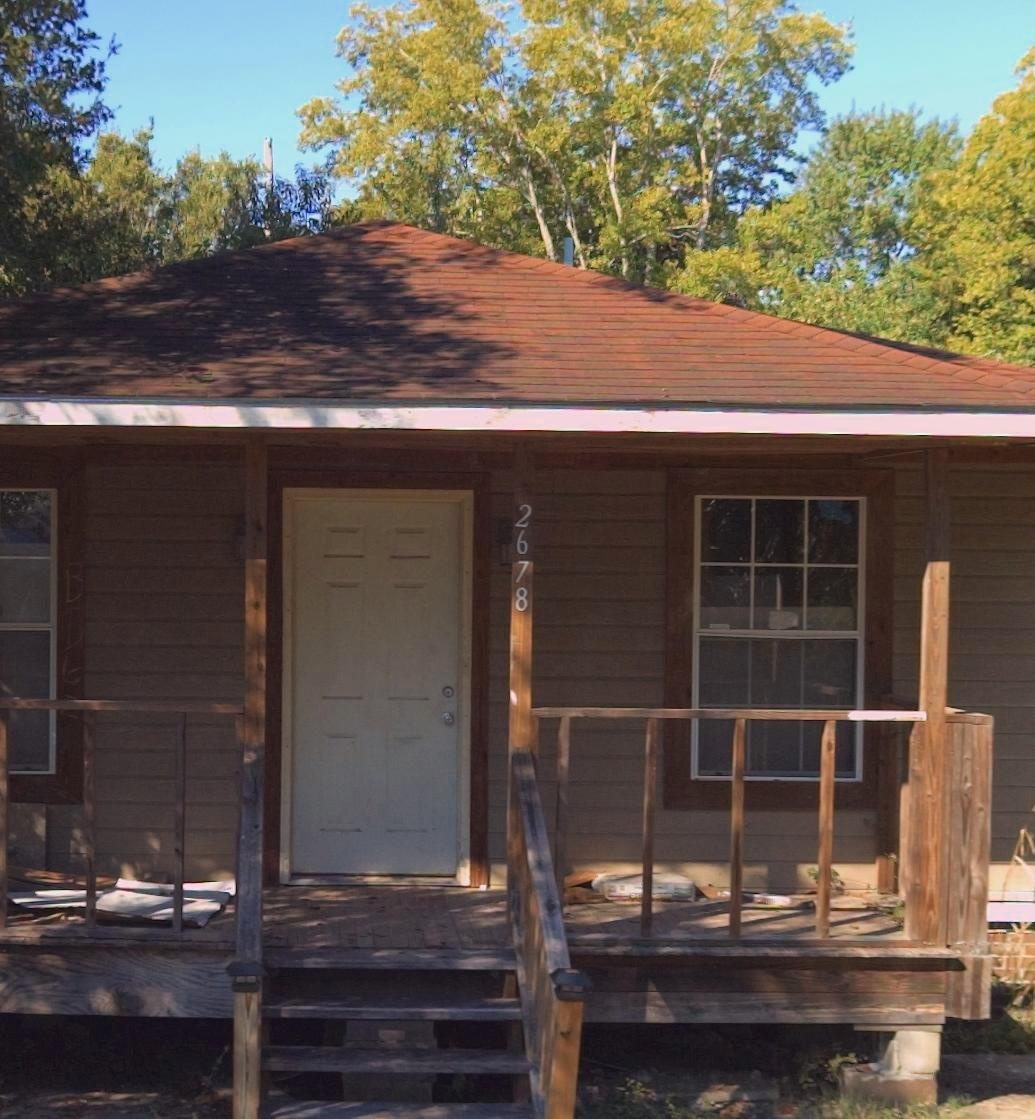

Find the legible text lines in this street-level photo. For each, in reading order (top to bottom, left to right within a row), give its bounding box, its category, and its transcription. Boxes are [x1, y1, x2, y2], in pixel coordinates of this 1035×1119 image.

[63, 559, 88, 610] None: B
[510, 501, 535, 615] StreetNumber: 2678